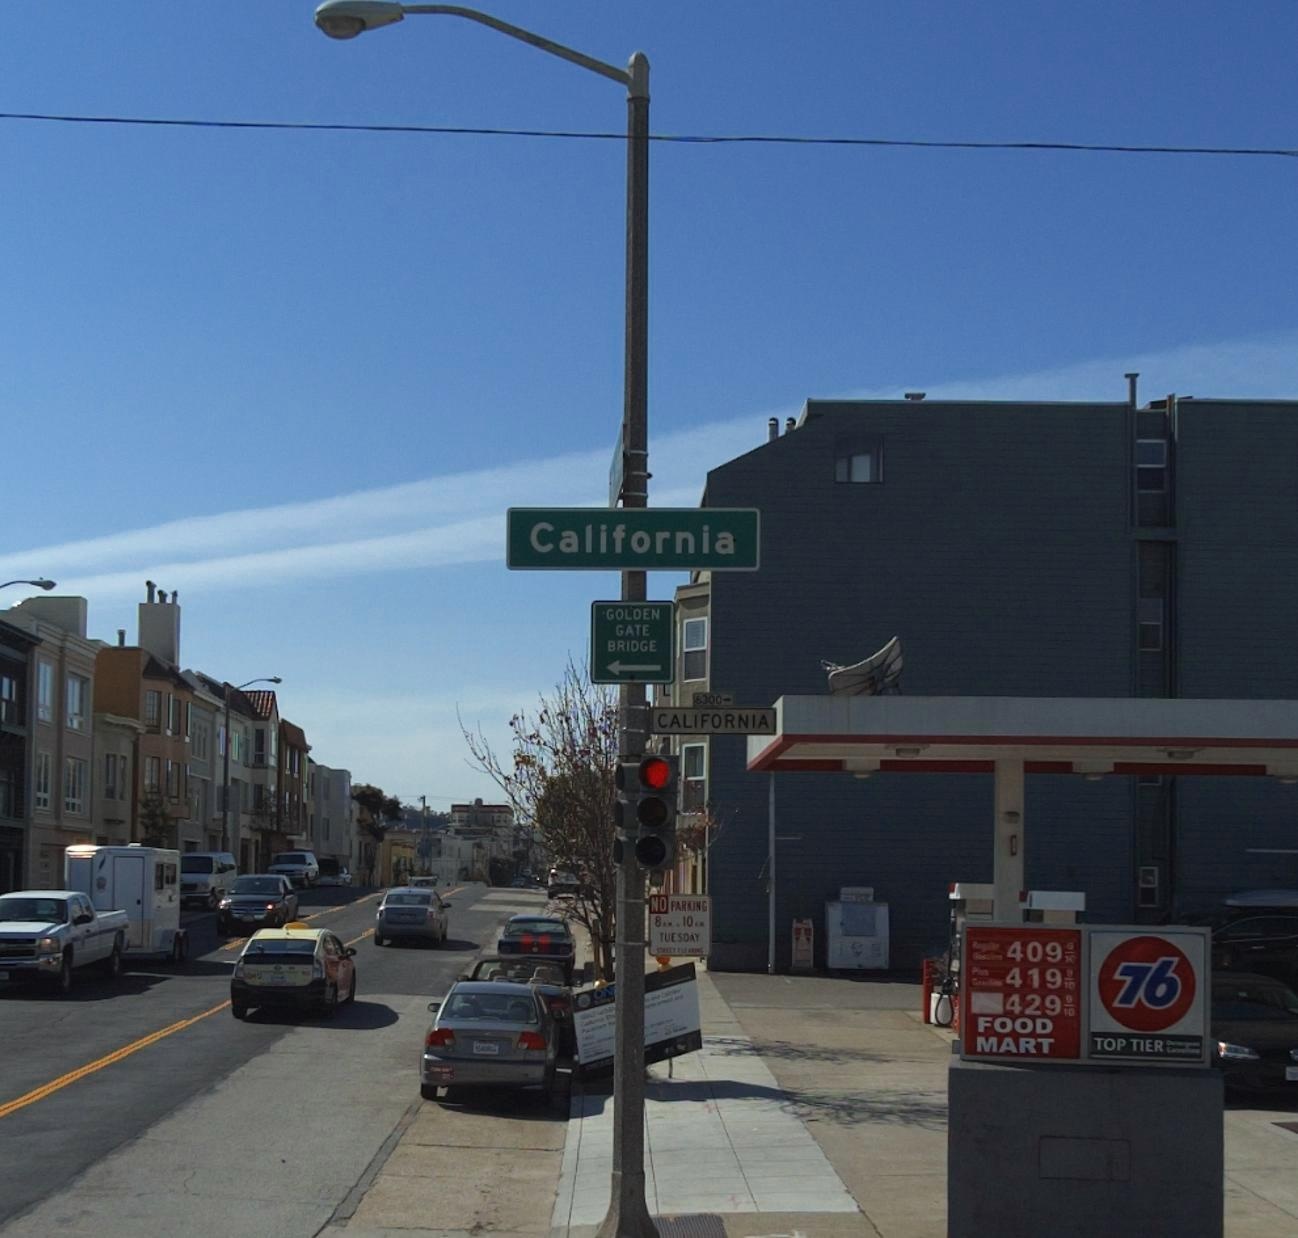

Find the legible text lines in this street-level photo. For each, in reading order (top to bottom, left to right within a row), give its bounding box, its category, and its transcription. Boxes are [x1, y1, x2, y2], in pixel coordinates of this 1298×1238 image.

[527, 521, 740, 563] StreetName: California
[604, 604, 661, 622] None: GOLDEN
[613, 621, 648, 637] None: GATE
[604, 636, 659, 653] None: BRIDGE
[692, 691, 732, 707] StreetNumberRange: 6300->
[655, 711, 769, 733] StreetName: CALIFORNIA
[649, 895, 708, 913] None: NO PARKING
[651, 914, 673, 928] None: 8AM
[681, 913, 704, 927] None: 10AM
[658, 930, 701, 942] None: TUESDAY
[1006, 940, 1061, 963] None: 409
[1064, 941, 1075, 952] None: 9
[1064, 953, 1076, 964] None: 10
[1004, 965, 1062, 990] None: 419
[1064, 967, 1073, 977] None: 9
[1063, 979, 1075, 990] None: 10
[1112, 952, 1180, 1011] None: 76
[1004, 991, 1060, 1018] None: 429
[1062, 1007, 1074, 1016] None: 10
[1064, 993, 1073, 1003] None: 9
[973, 1016, 1053, 1034] None: FOOD
[973, 1035, 1056, 1054] None: MART
[1092, 1033, 1165, 1056] None: TOP TIER